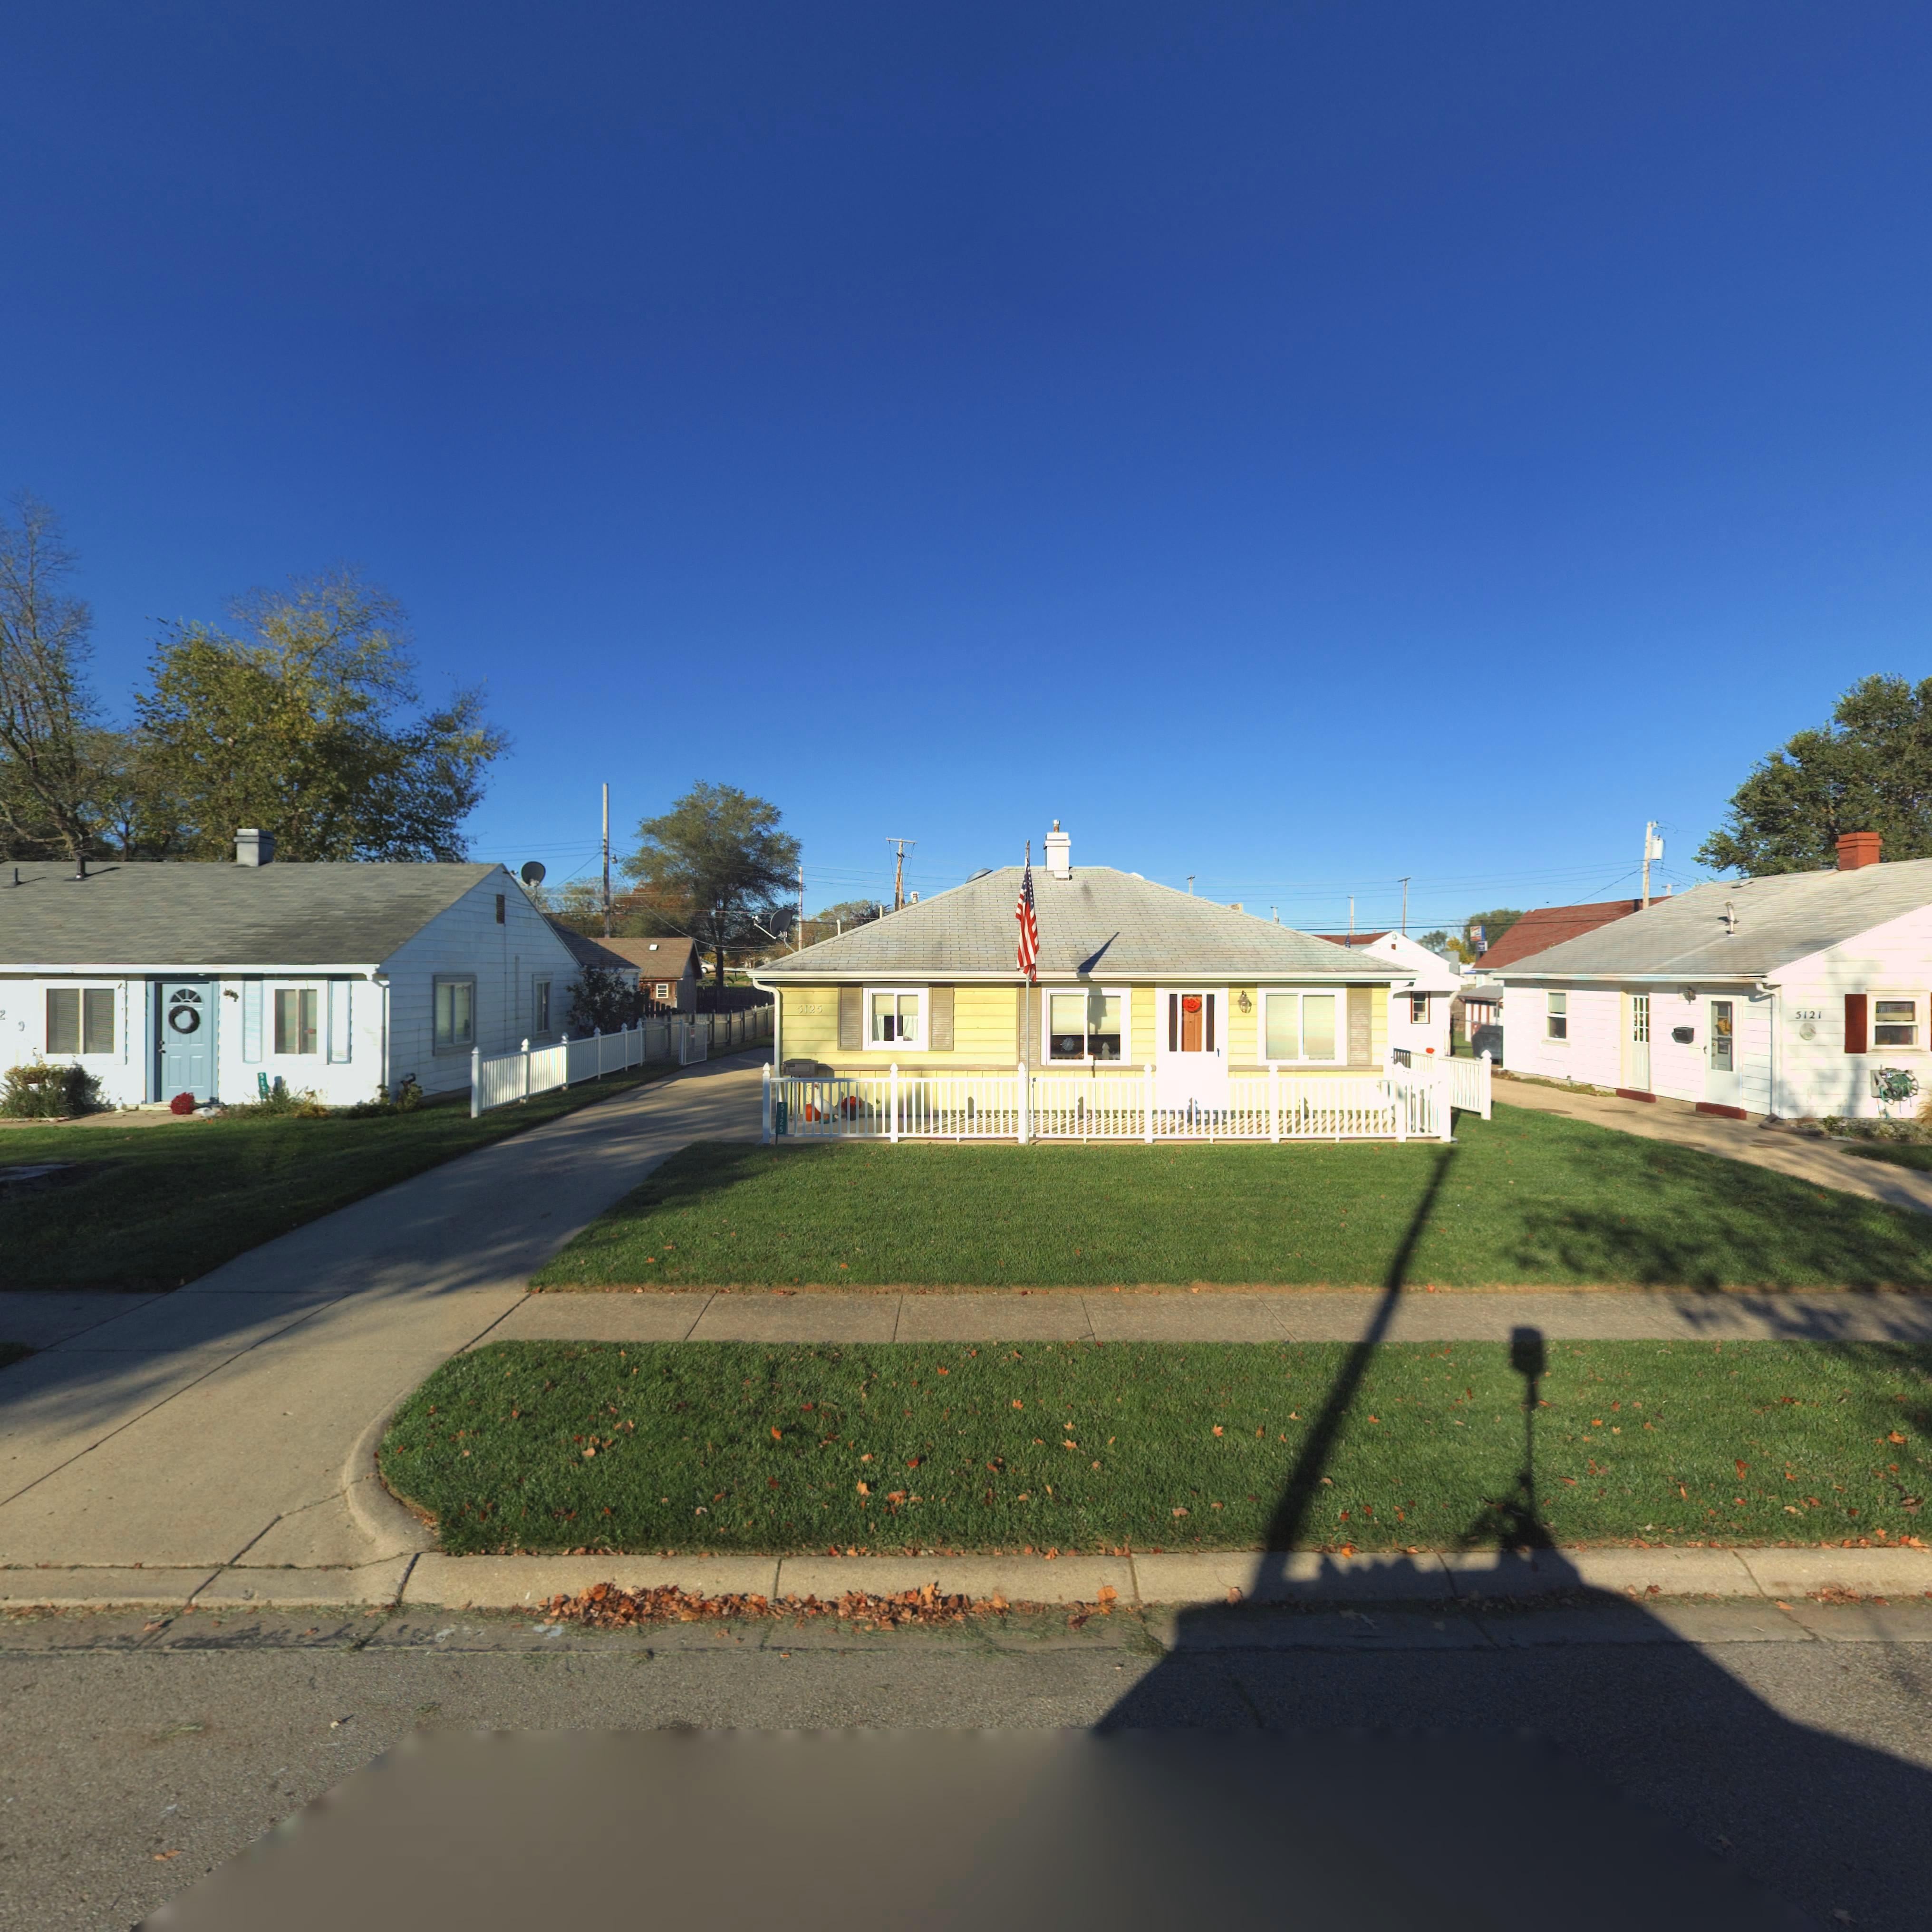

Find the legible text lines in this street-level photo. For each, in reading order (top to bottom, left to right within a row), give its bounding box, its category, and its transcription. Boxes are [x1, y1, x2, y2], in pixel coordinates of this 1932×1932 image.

[0, 1009, 25, 1033] StreetNumber: 29
[797, 1004, 823, 1014] StreetNumber: 5125
[1794, 1011, 1822, 1019] StreetNumber: 5121
[259, 1073, 265, 1086] StreetNumber: 51
[779, 1103, 785, 1133] StreetNumber: 5125